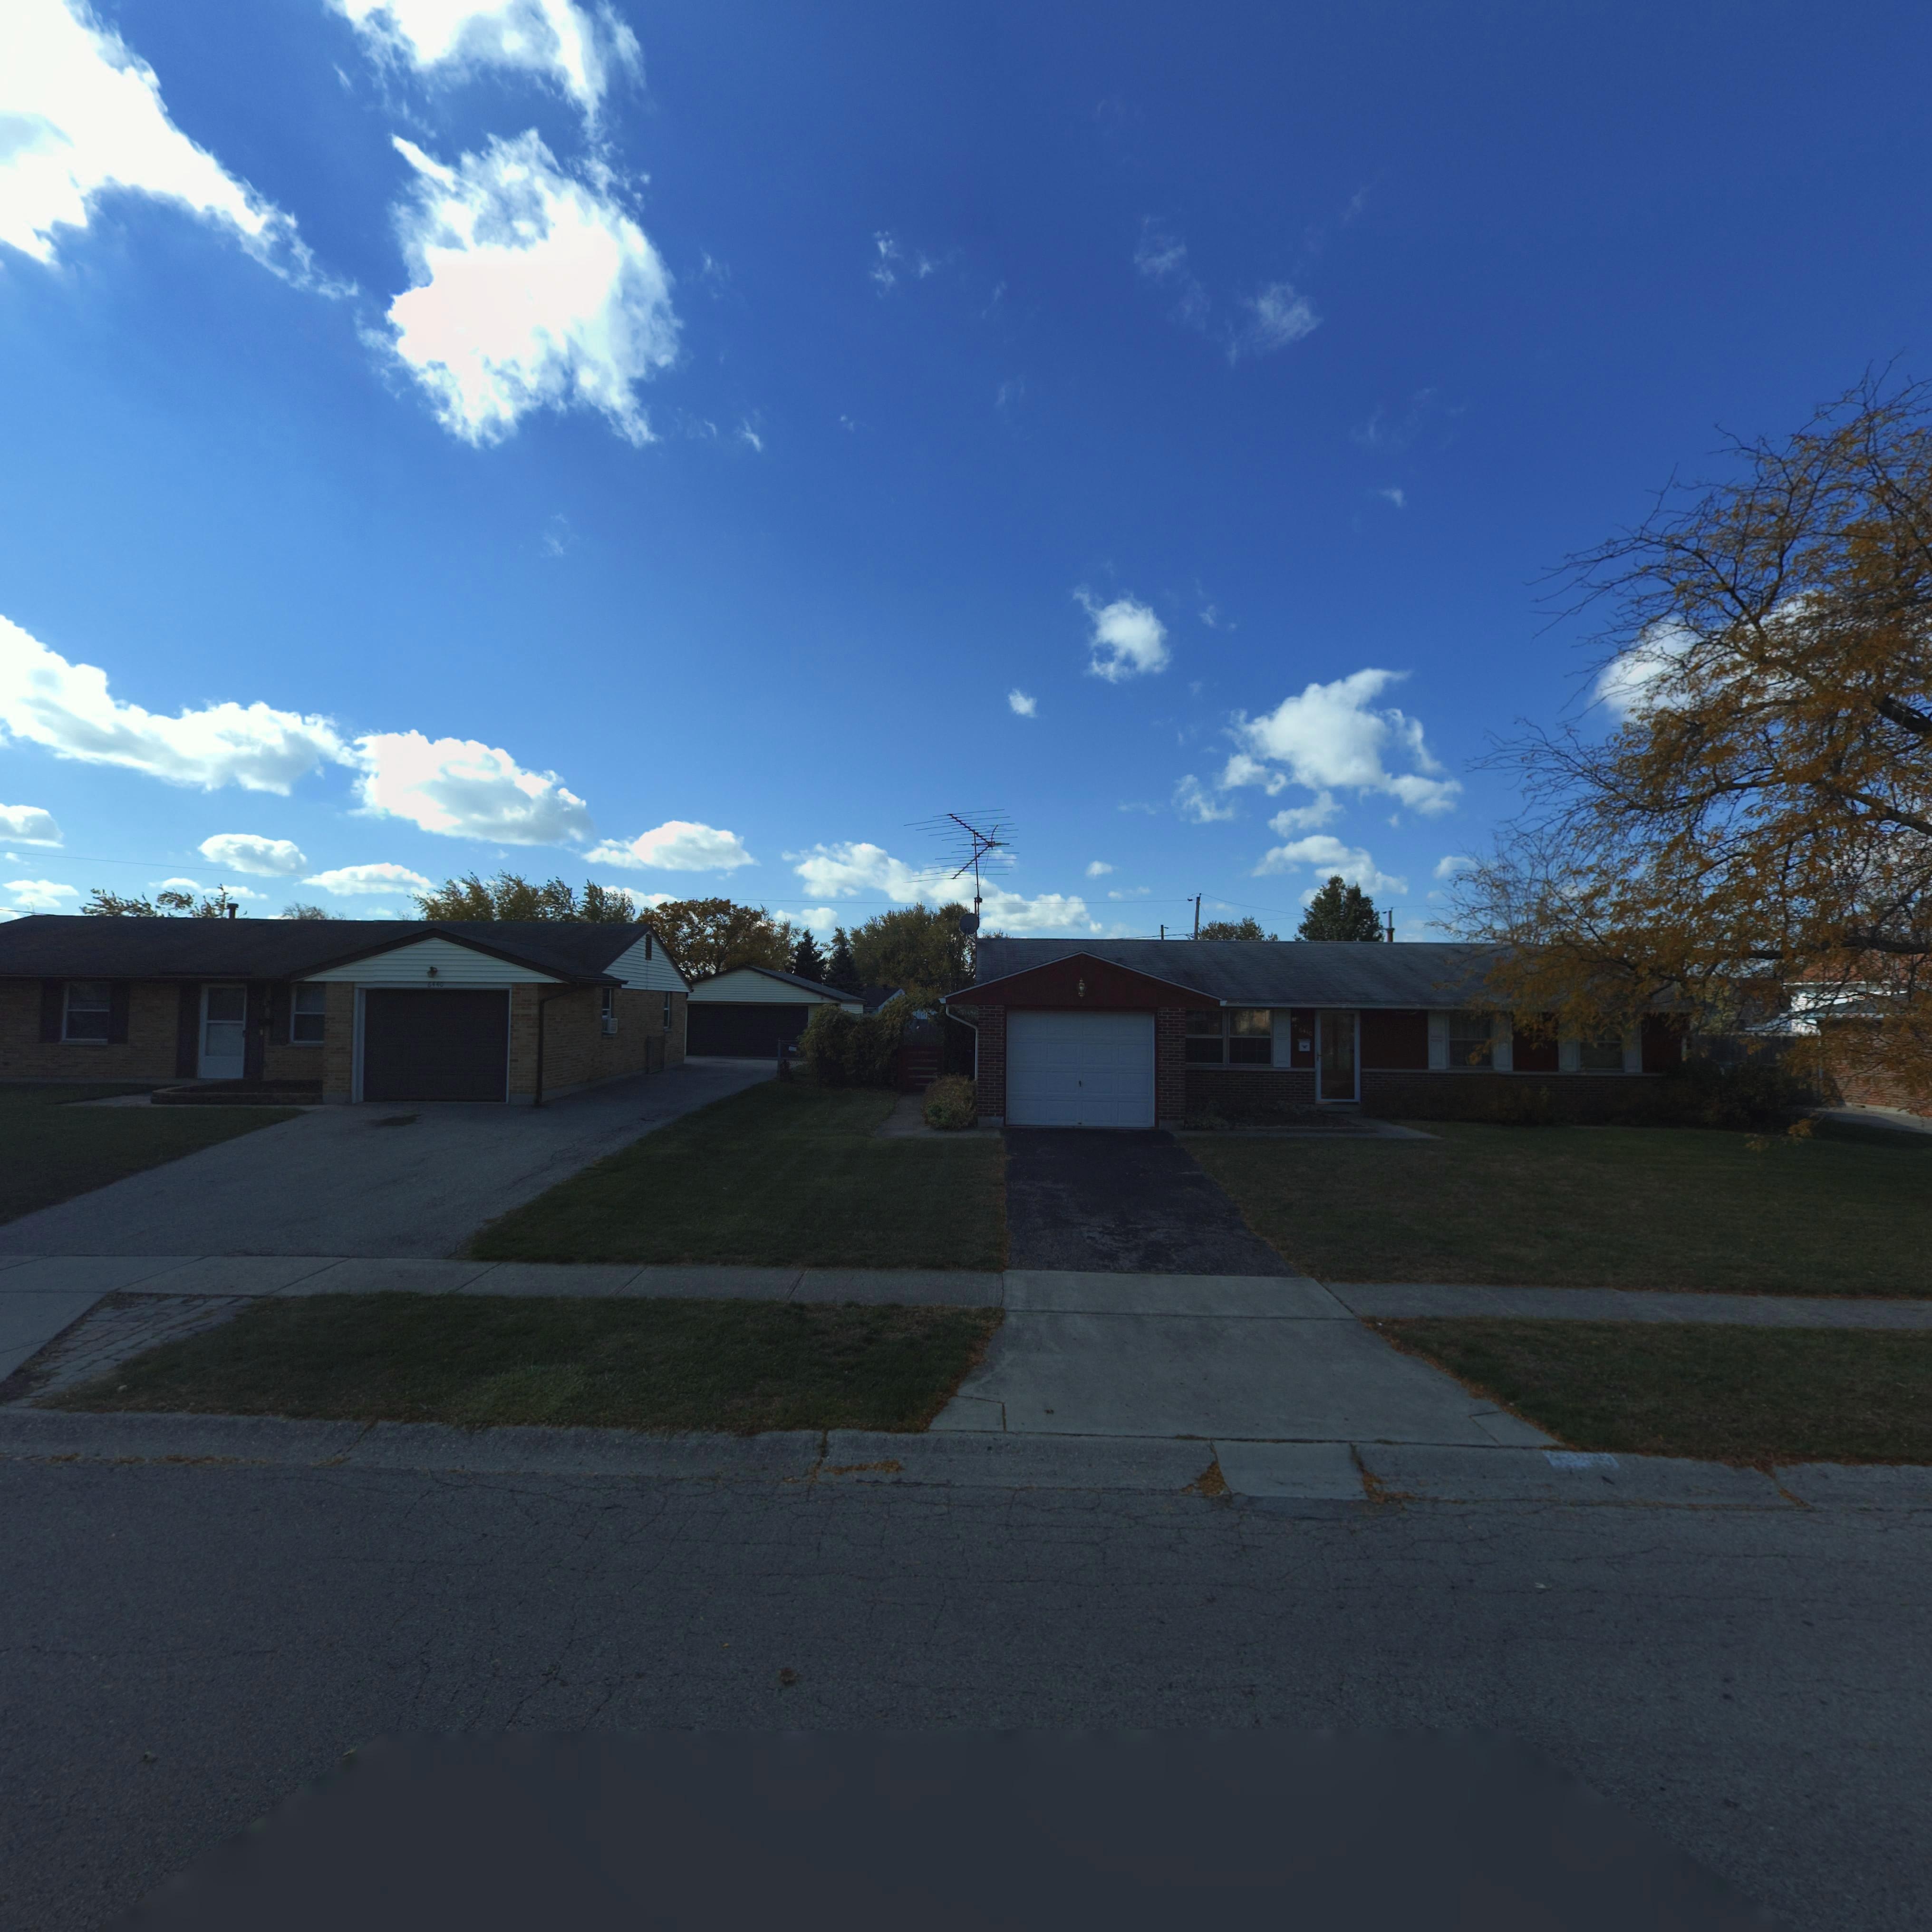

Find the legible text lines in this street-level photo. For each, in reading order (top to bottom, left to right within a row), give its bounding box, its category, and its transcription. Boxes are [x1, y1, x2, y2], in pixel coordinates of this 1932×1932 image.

[426, 981, 444, 988] StreetNumber: 6440
[1298, 1026, 1313, 1037] StreetNumber: 6430
[1596, 1454, 1616, 1472] StreetNumber: 0